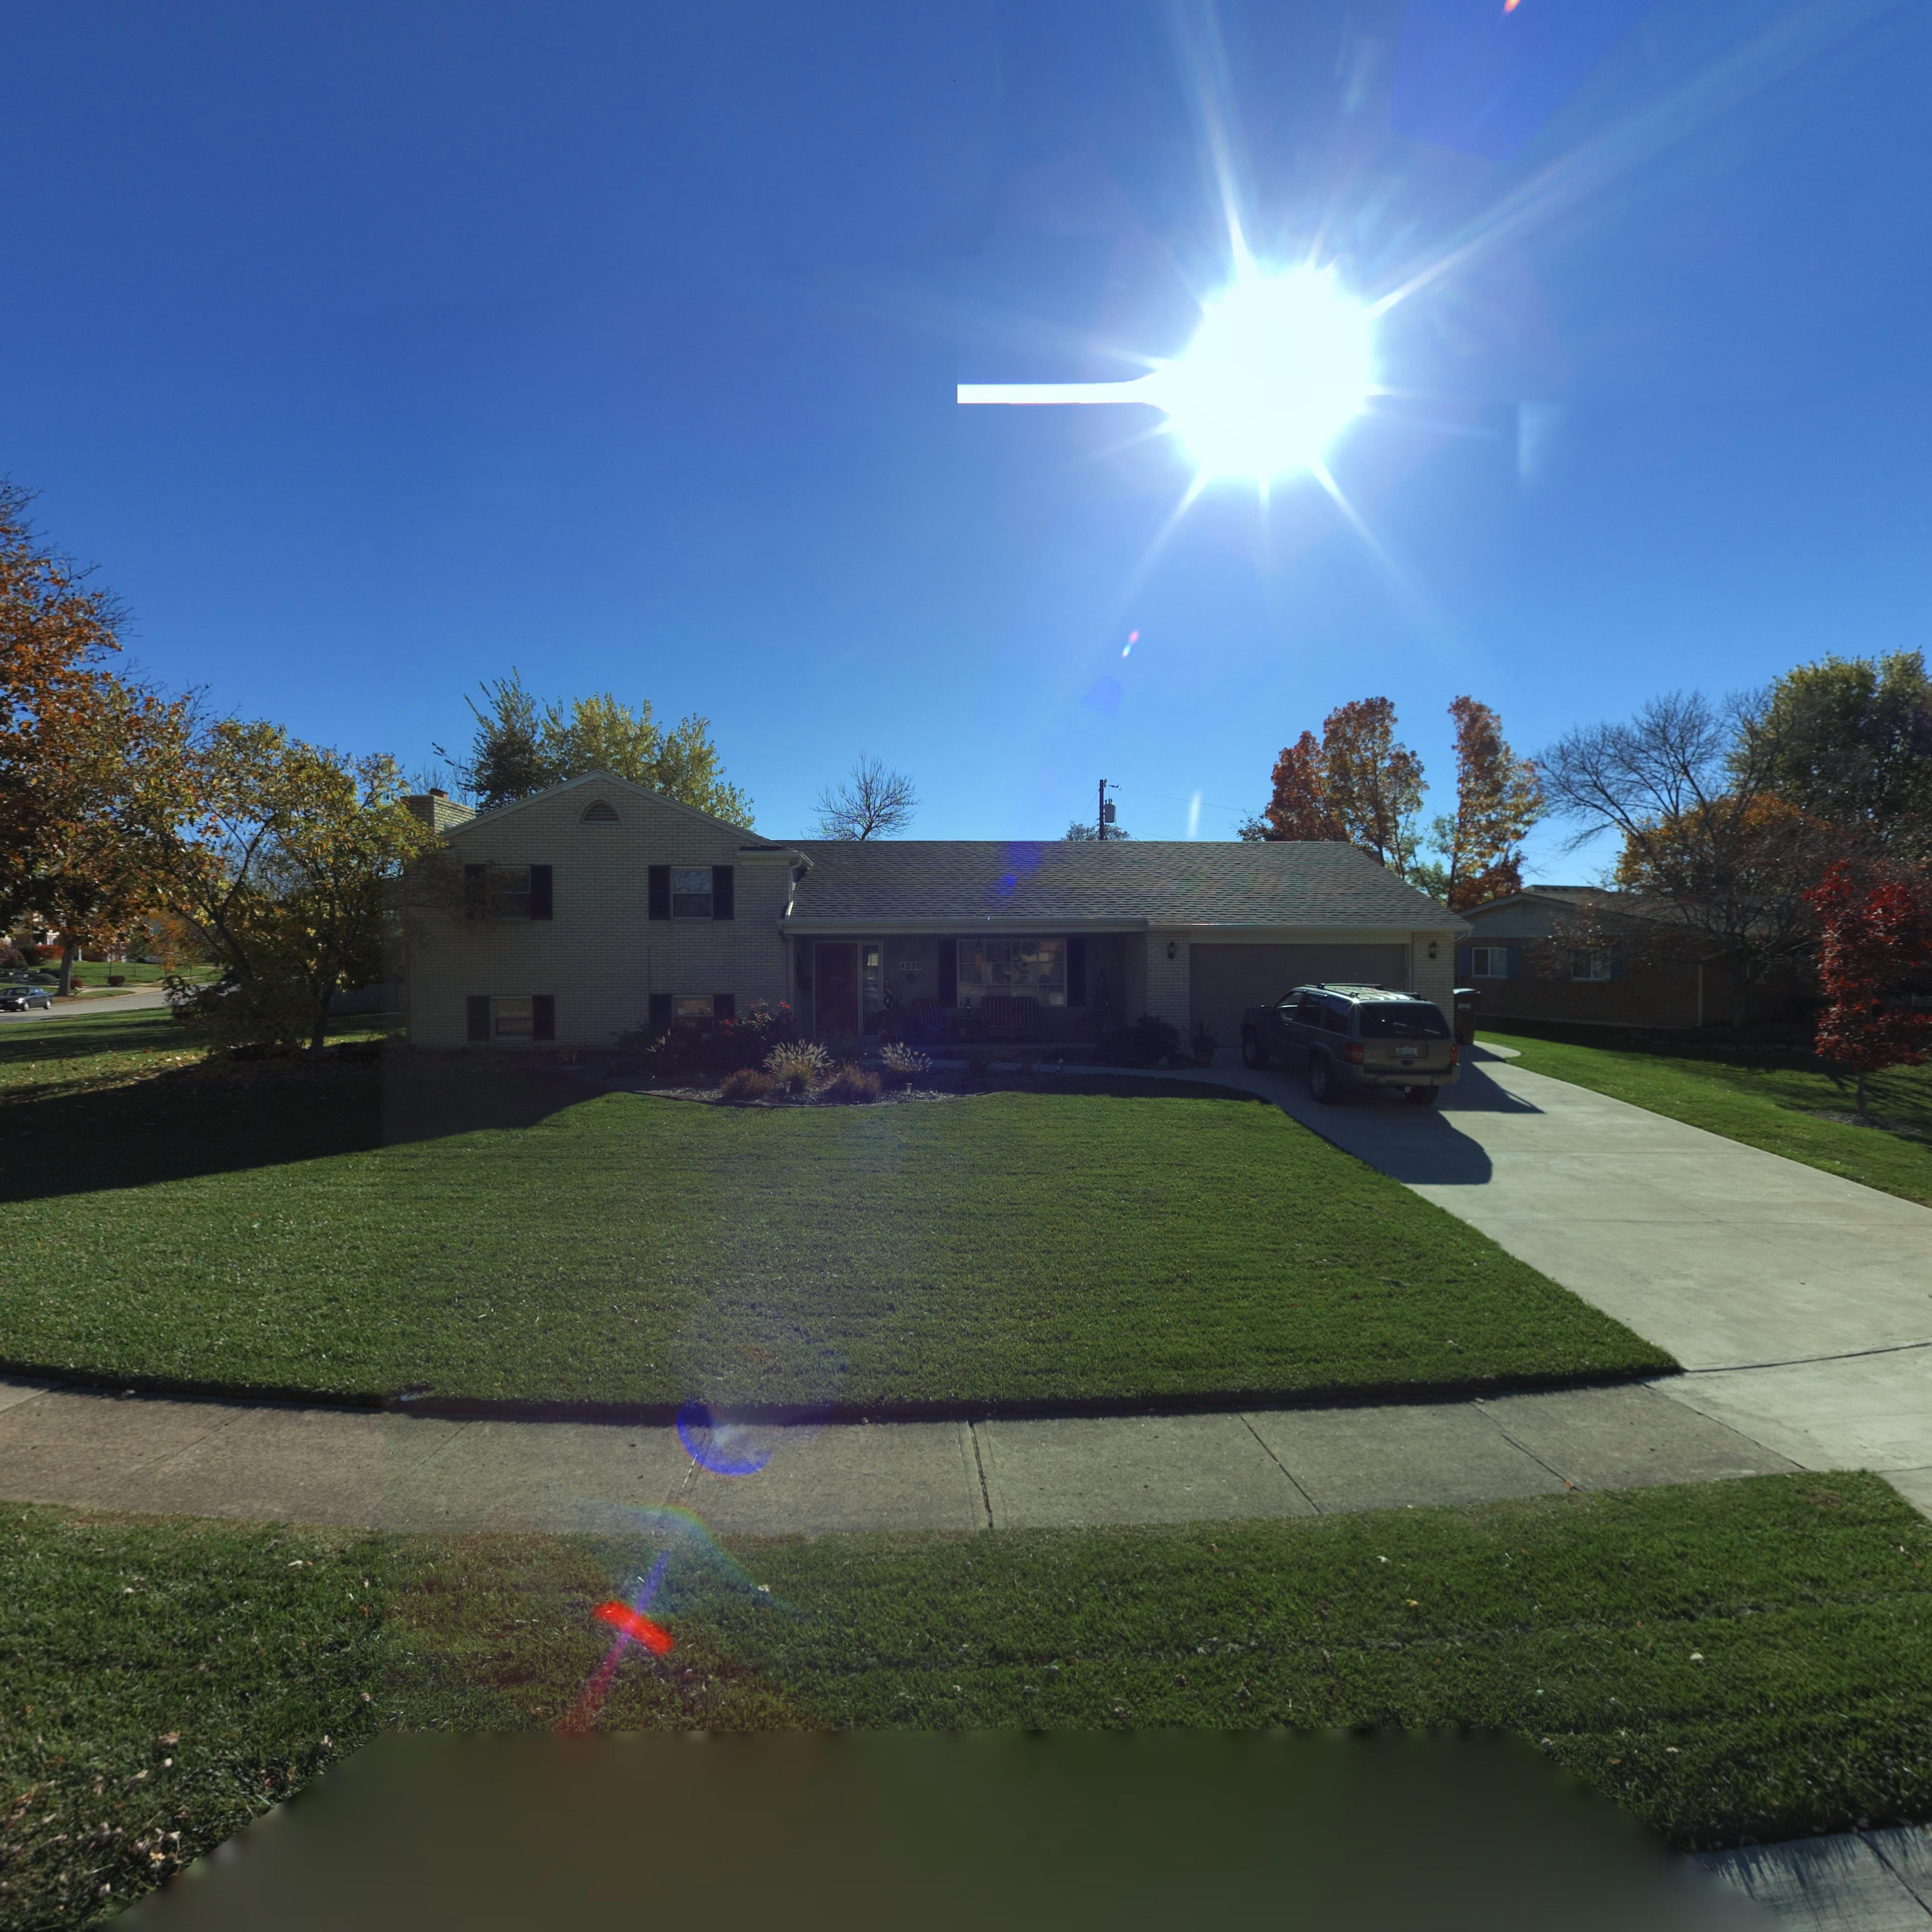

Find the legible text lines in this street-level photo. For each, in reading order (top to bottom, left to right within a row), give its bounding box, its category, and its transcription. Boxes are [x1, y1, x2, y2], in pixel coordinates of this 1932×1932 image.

[898, 961, 923, 970] StreetNumber: 4238